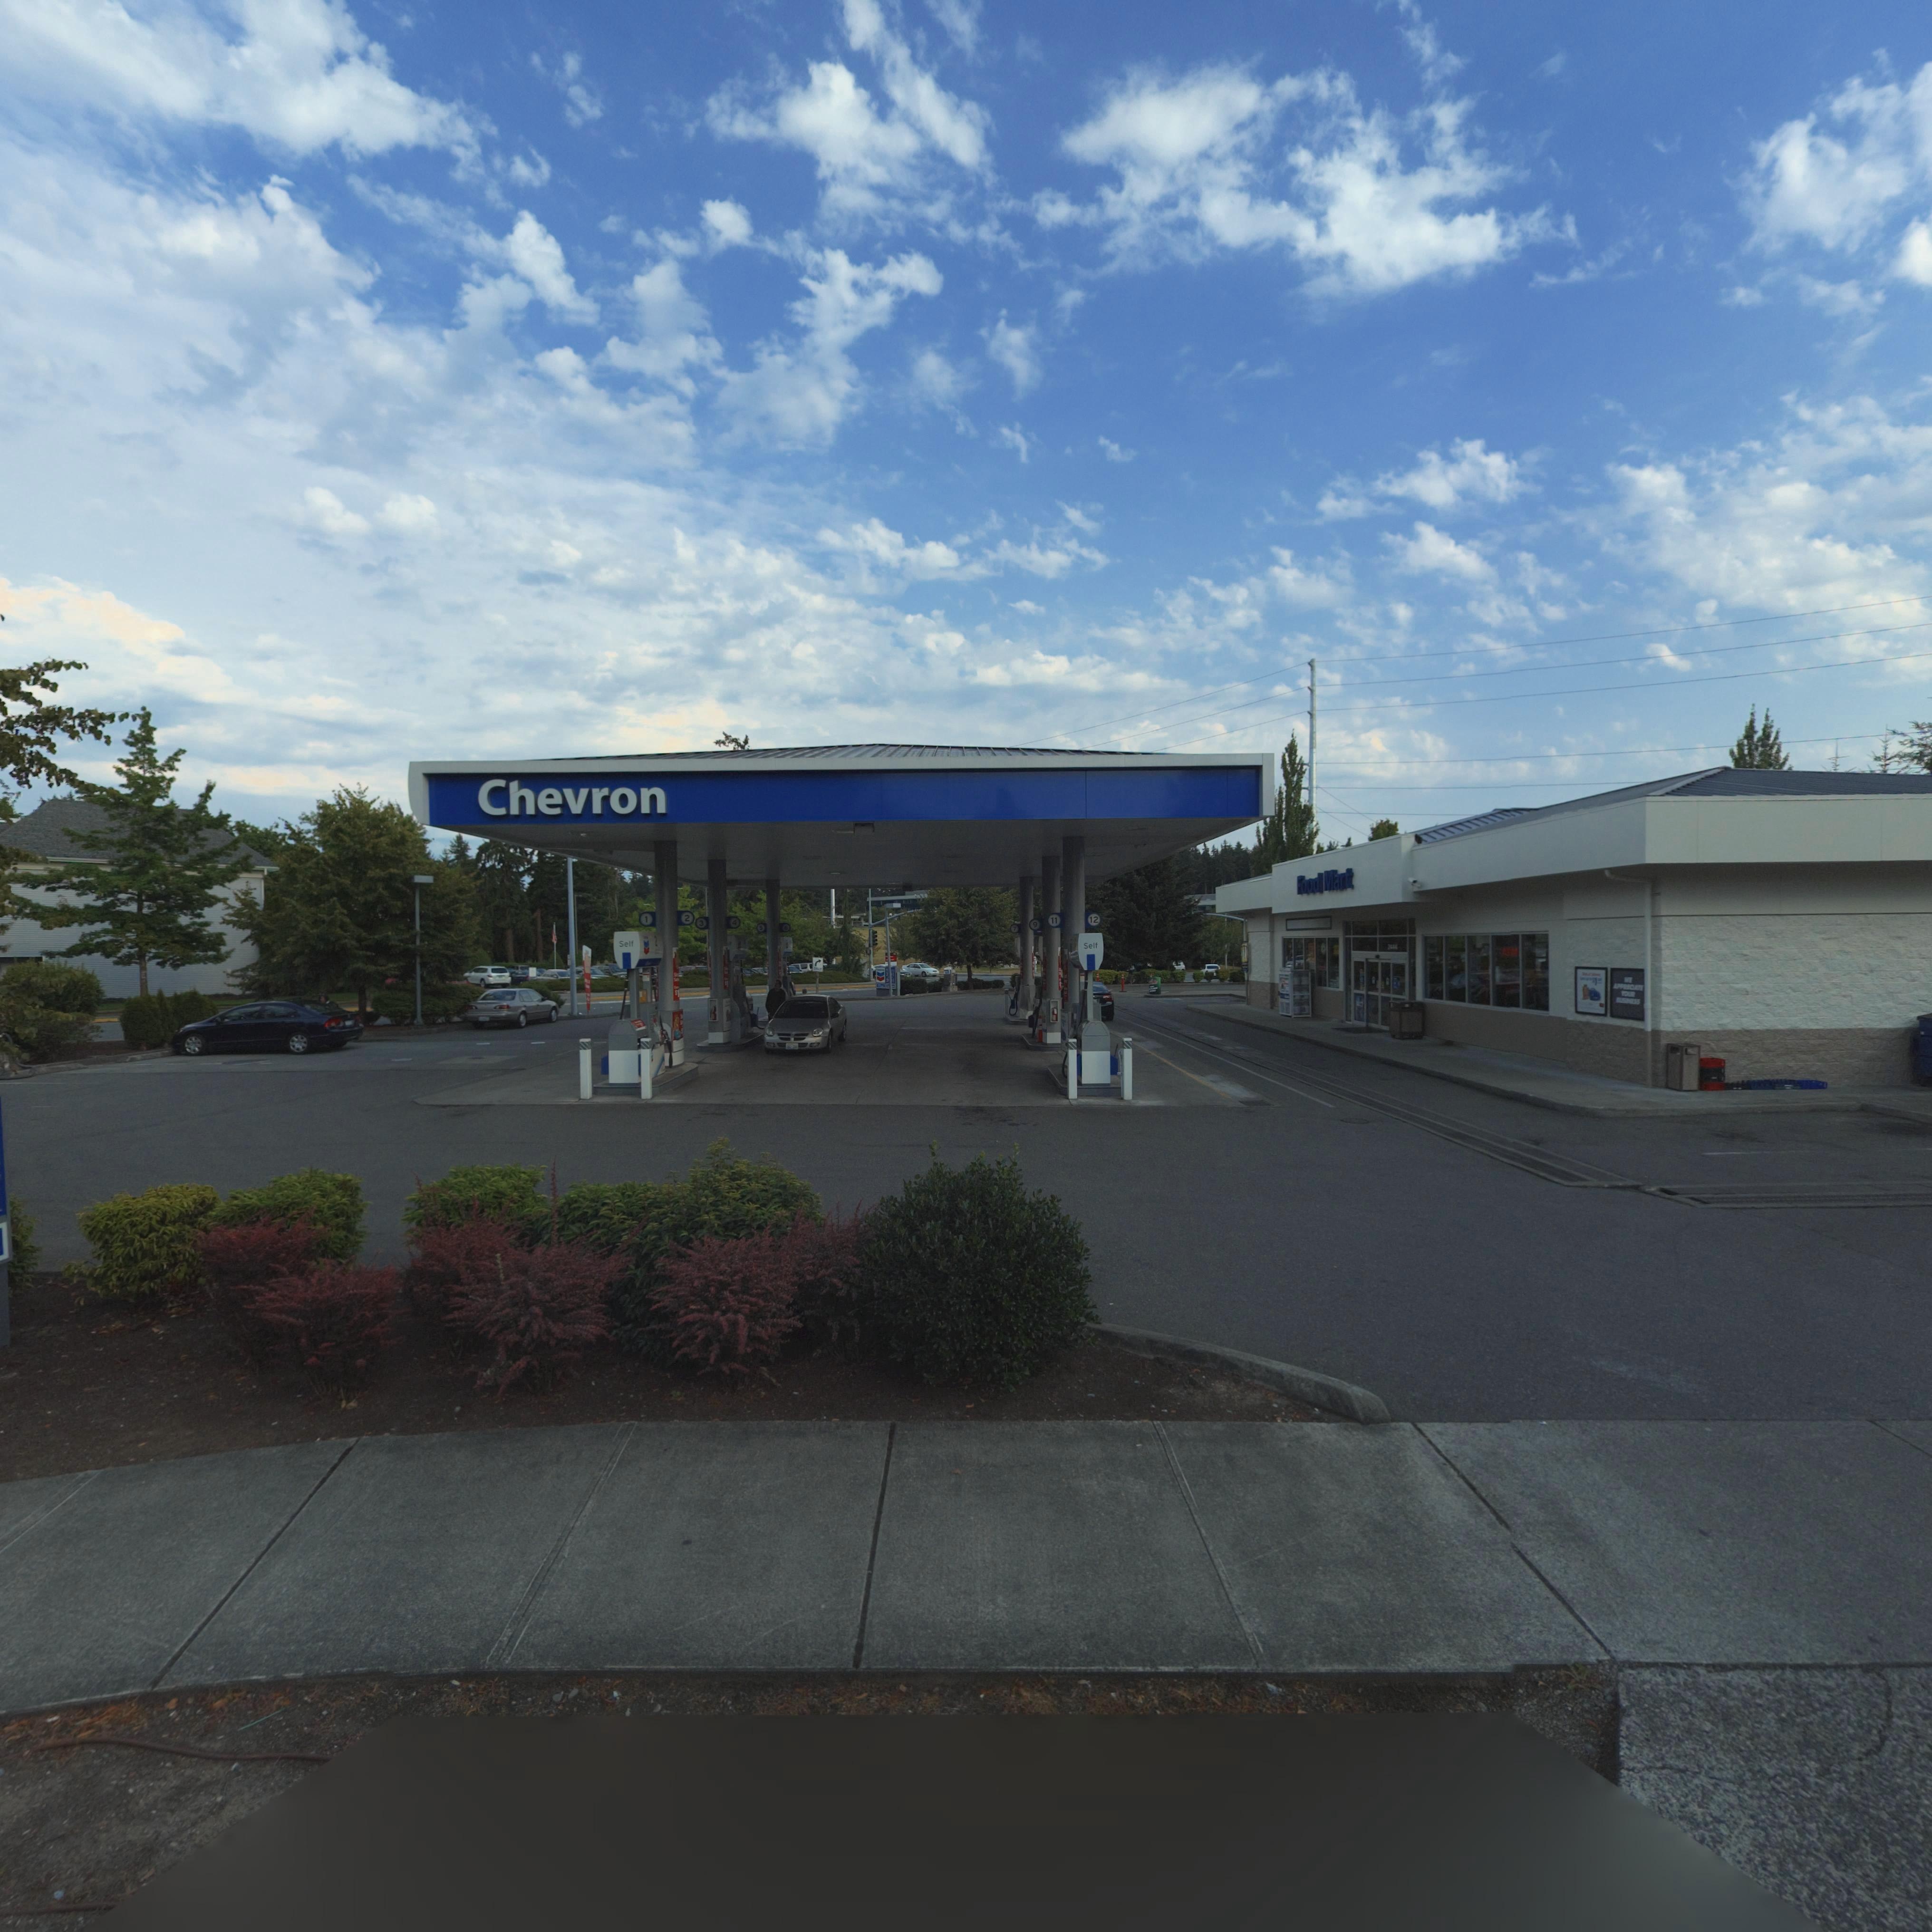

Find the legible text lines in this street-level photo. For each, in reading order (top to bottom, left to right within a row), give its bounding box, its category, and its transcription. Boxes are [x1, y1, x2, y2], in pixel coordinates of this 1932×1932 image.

[478, 780, 665, 815] BusinessName: Chevron
[1297, 868, 1356, 896] BusinessName: Food Mart